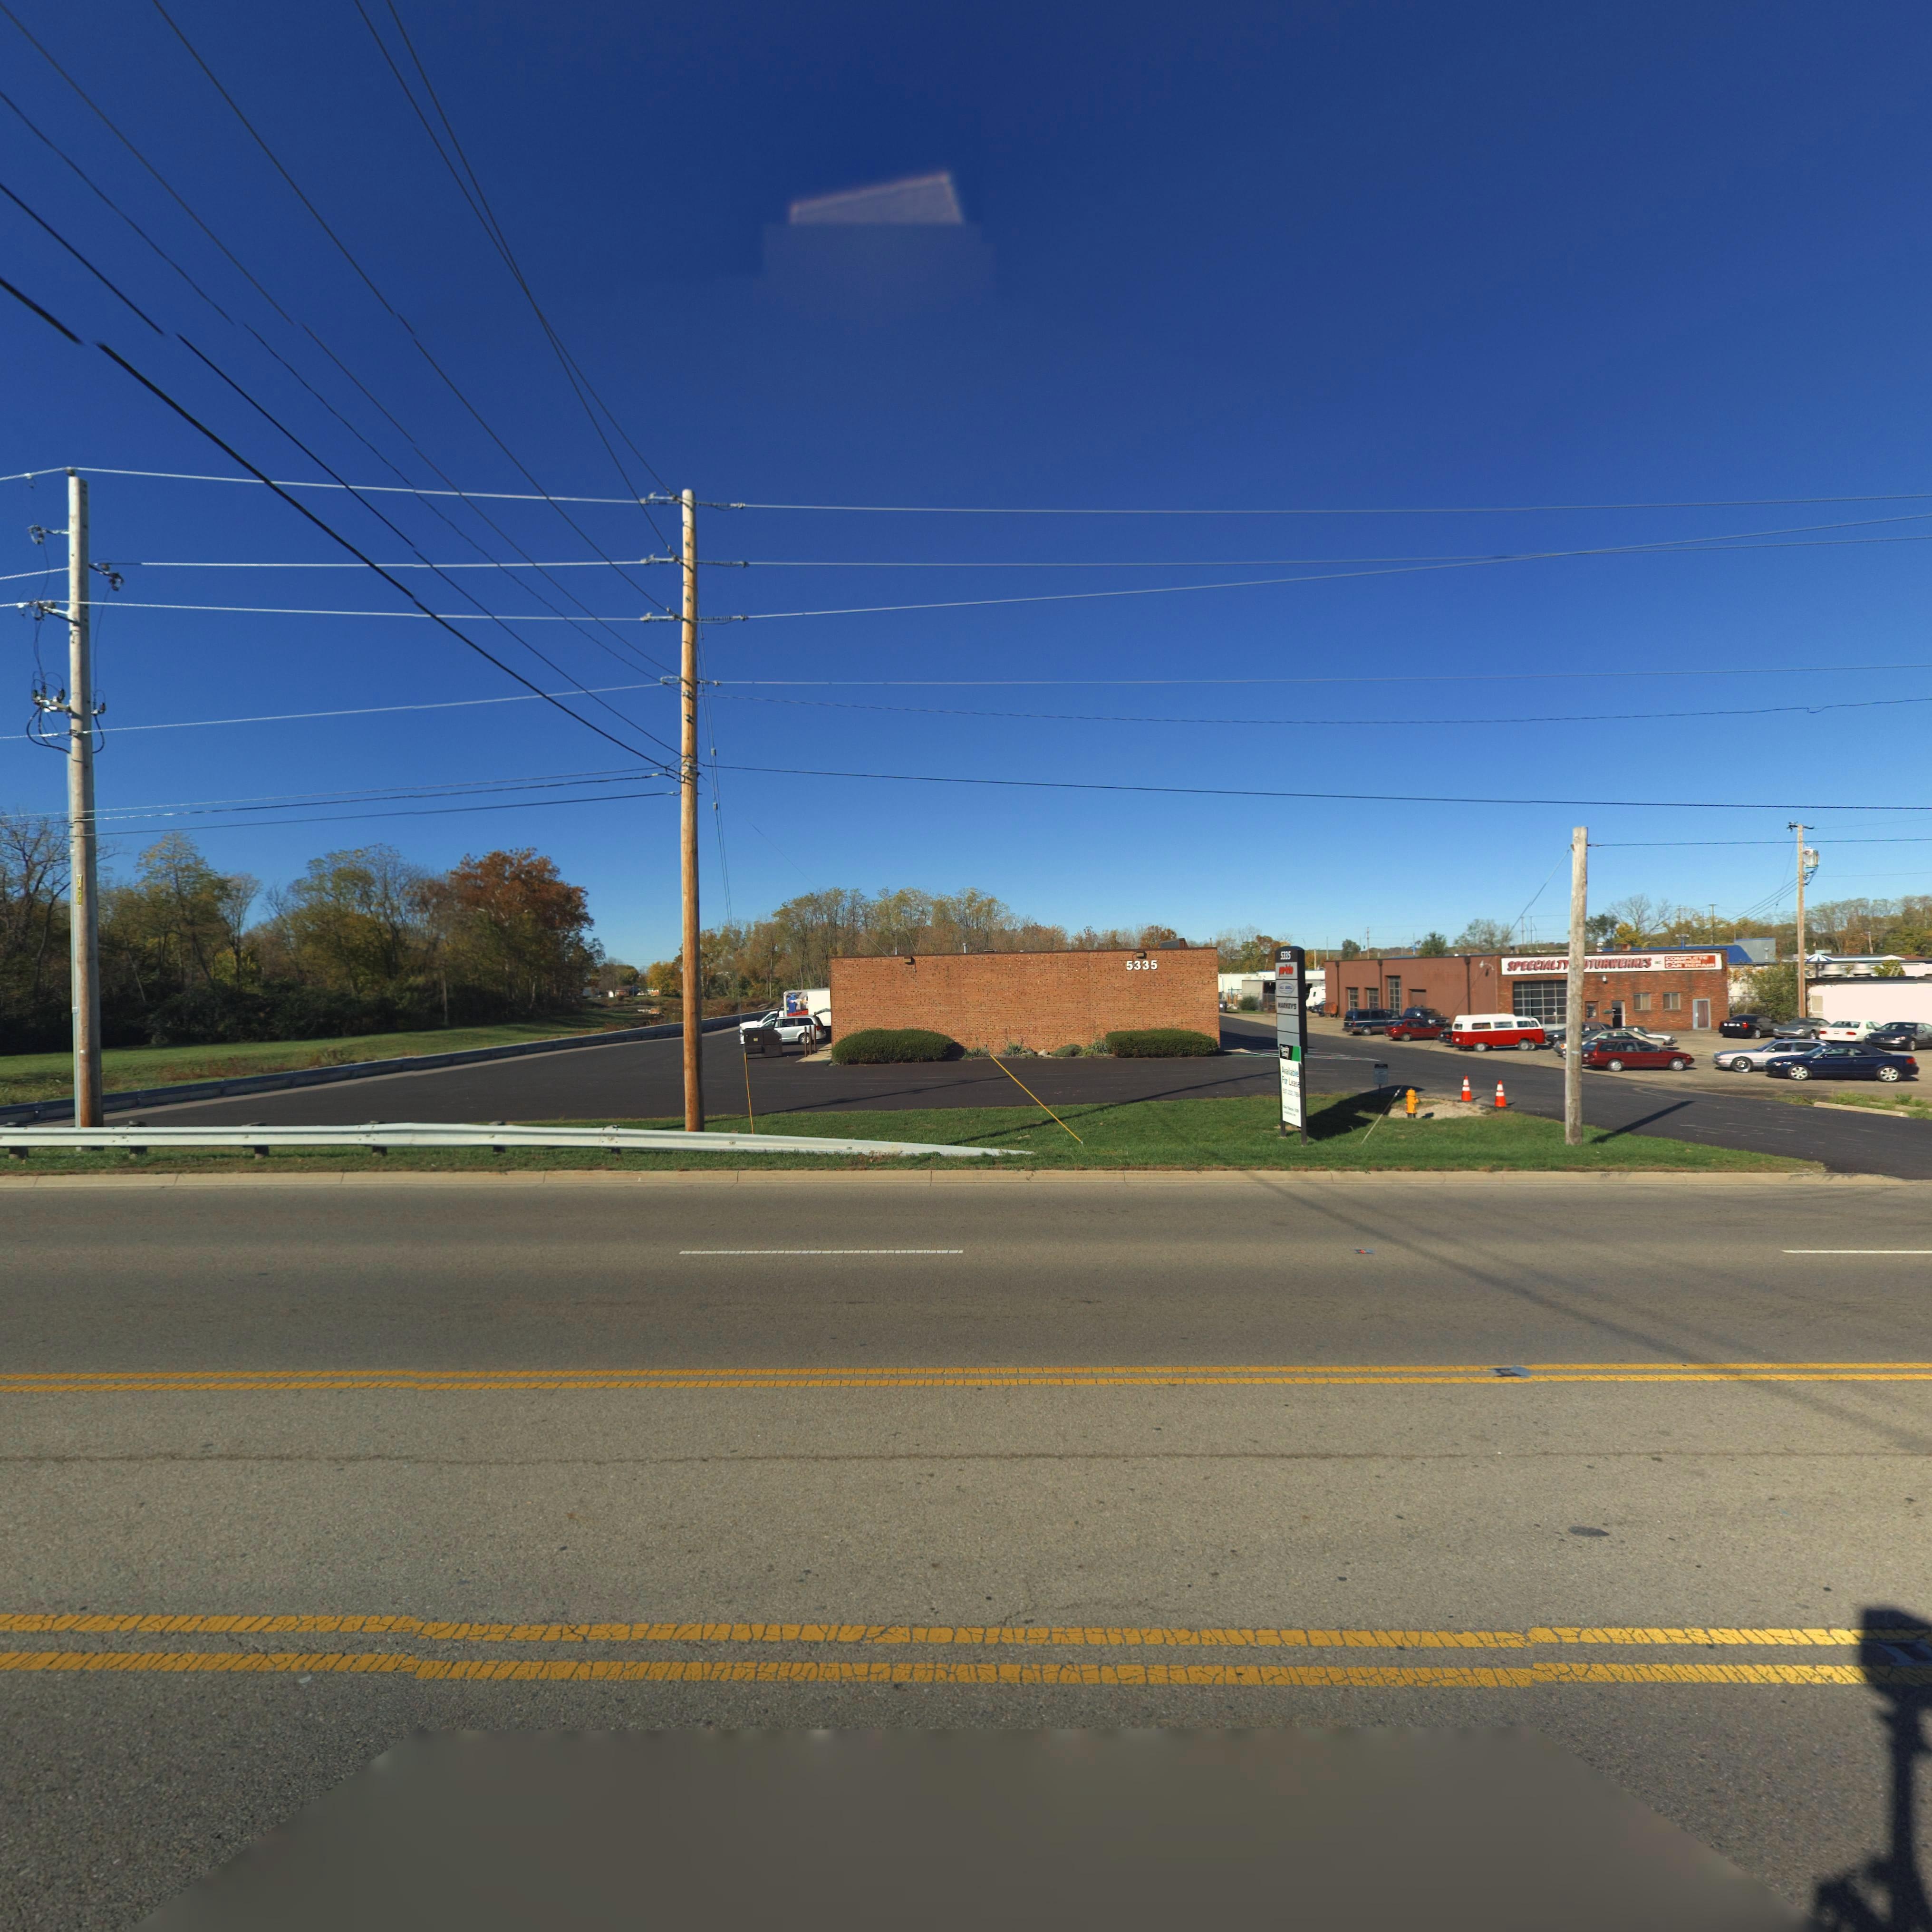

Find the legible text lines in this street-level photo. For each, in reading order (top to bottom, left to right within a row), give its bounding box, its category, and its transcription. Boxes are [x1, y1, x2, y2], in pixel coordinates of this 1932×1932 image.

[1279, 950, 1292, 961] StreetNumber: 5335
[1125, 959, 1158, 971] StreetNumber: 5335